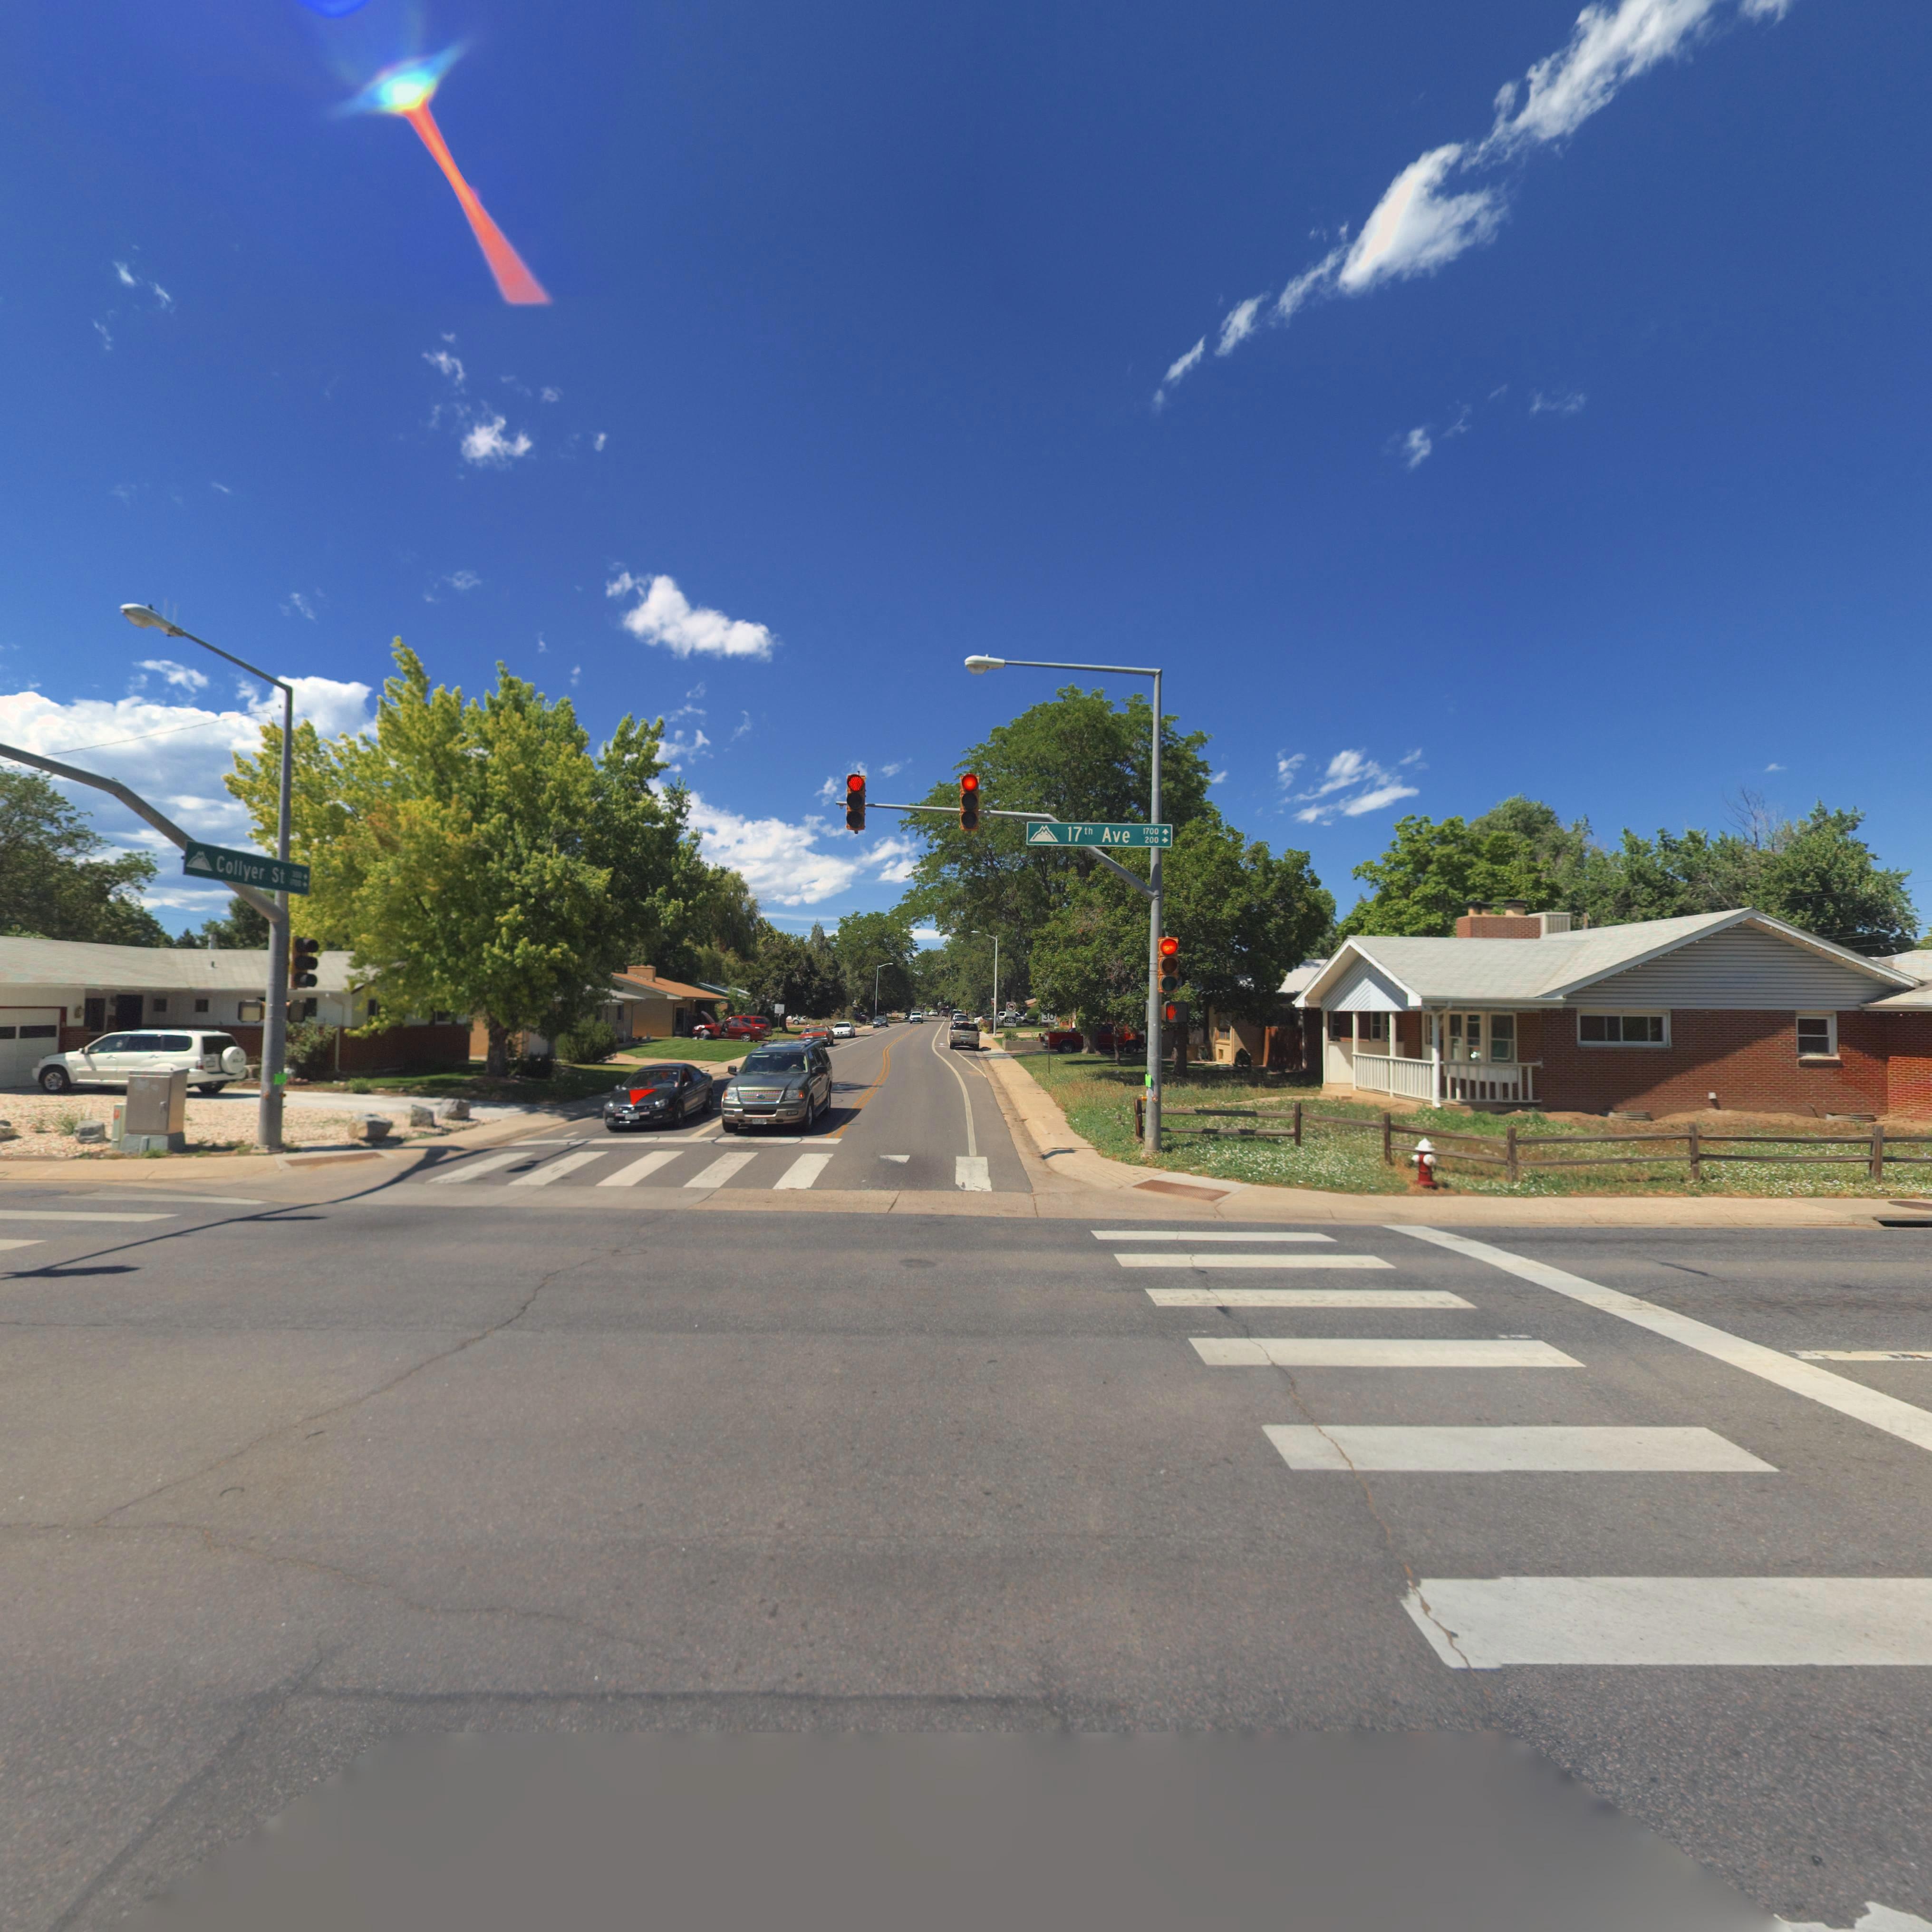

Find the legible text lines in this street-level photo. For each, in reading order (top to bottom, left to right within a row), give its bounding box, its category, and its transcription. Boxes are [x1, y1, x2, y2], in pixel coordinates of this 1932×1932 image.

[1067, 826, 1130, 843] StreetName: 17th Ave
[1143, 828, 1159, 835] StreetNumberRange: 1700
[1144, 836, 1168, 843] StreetNumberRange: 200->
[216, 855, 285, 884] StreetName: Collyer St
[291, 870, 302, 879] StreetNumberRange: 300